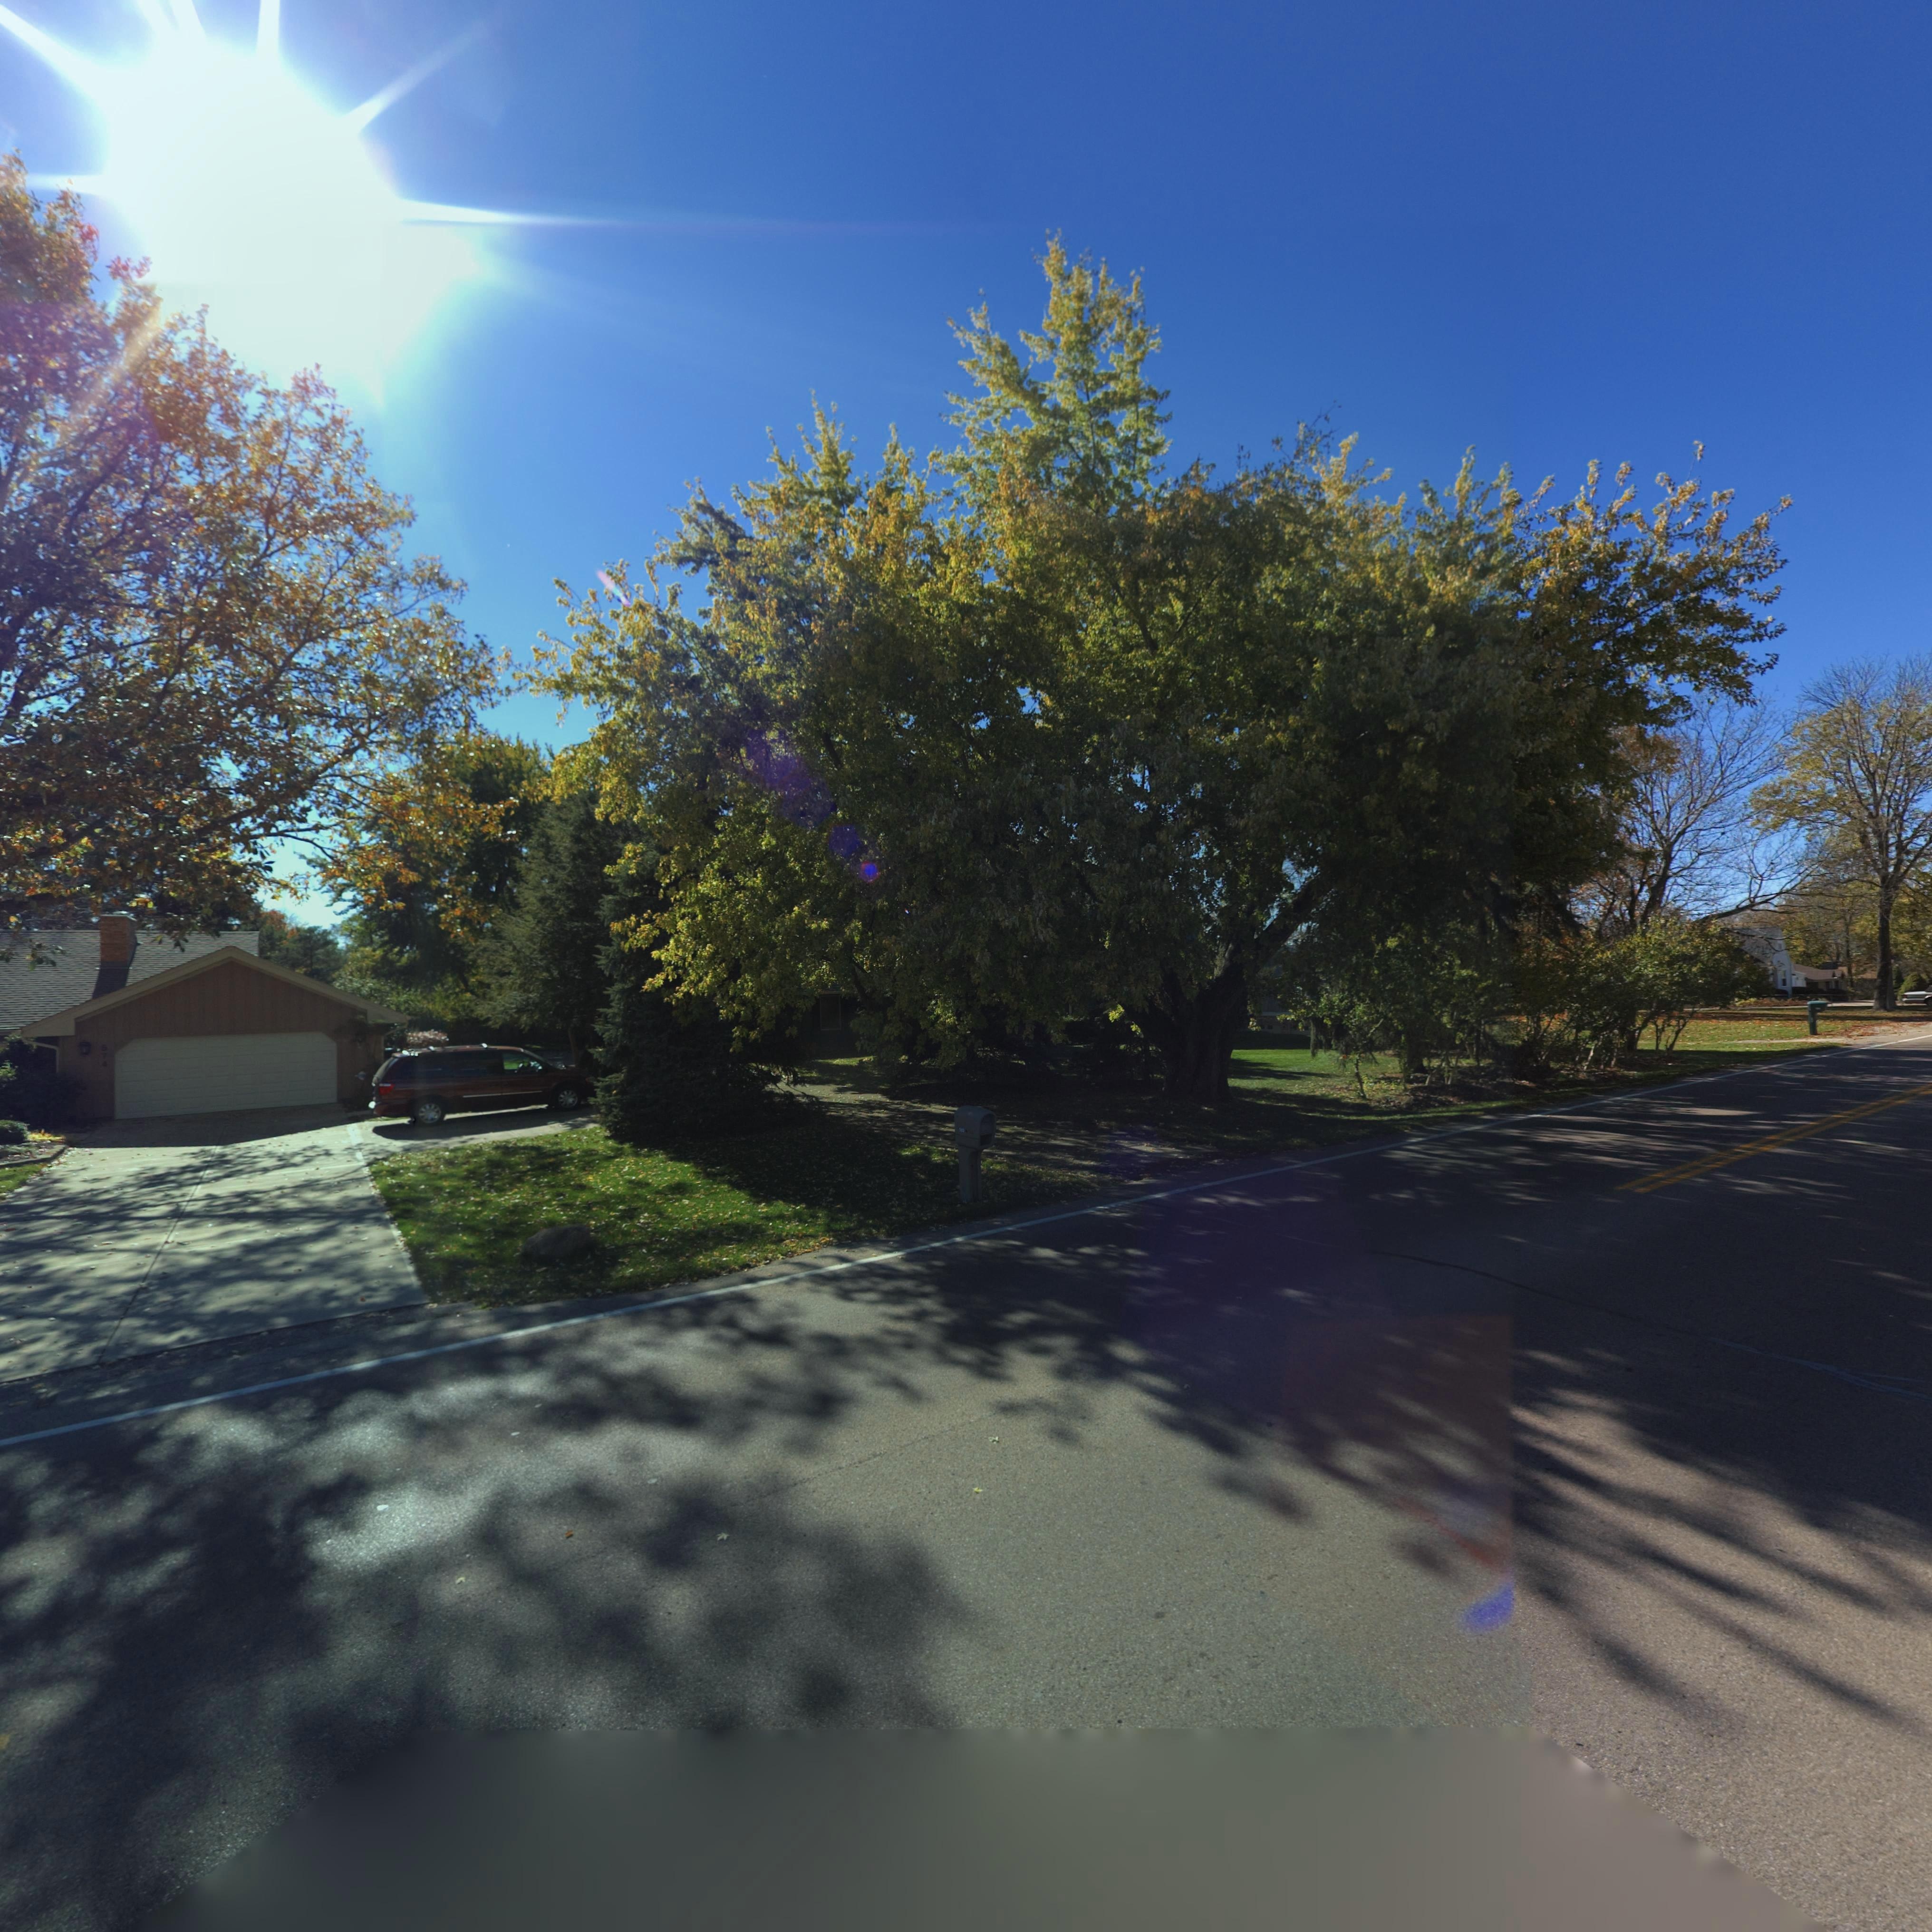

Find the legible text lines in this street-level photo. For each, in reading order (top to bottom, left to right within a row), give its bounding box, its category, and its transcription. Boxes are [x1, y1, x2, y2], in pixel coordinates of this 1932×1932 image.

[101, 1043, 107, 1067] StreetNumber: 574
[959, 1127, 965, 1133] StreetNumber: 580